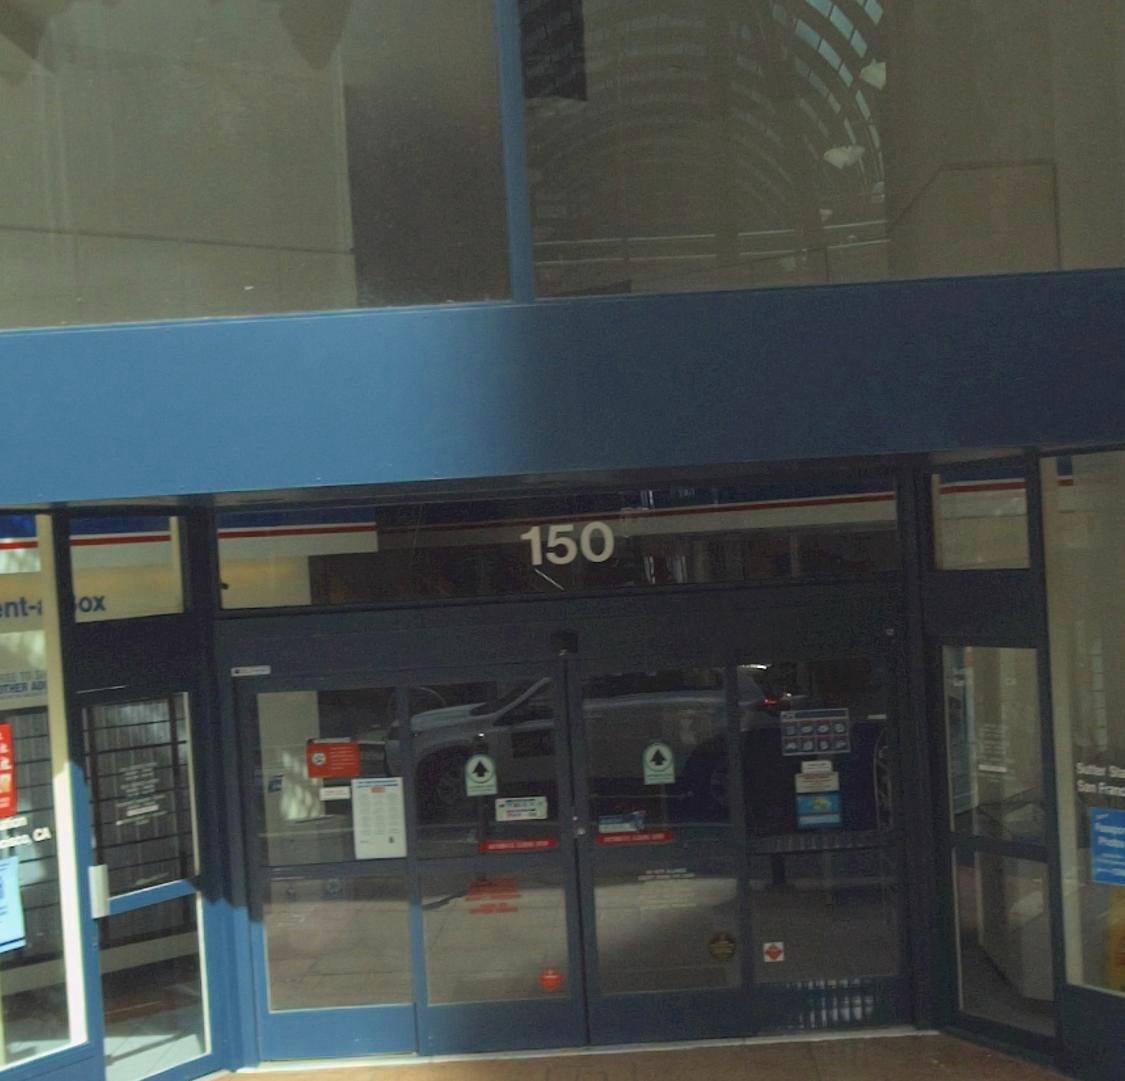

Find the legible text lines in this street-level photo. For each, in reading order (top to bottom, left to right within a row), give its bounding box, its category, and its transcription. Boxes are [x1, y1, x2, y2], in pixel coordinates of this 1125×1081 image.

[517, 518, 620, 571] StreetNumber: 150
[3, 593, 34, 624] None: nt
[74, 590, 111, 617] None: ox
[1071, 757, 1124, 783] None: S***er St
[1074, 776, 1125, 799] None: S*n F**n
[0, 830, 34, 851] None: cisco,
[6, 810, 31, 833] None: ion
[29, 823, 55, 846] None: CA